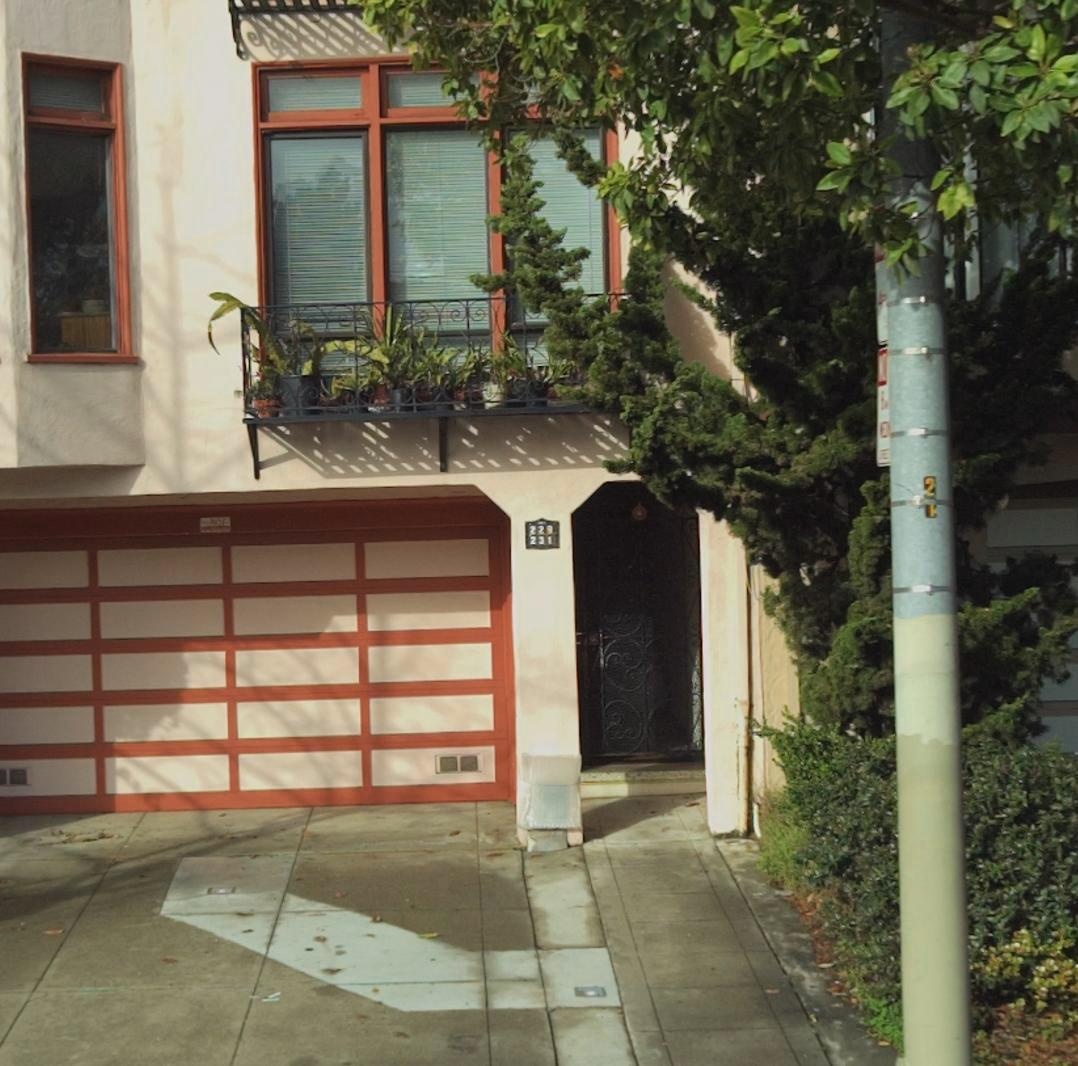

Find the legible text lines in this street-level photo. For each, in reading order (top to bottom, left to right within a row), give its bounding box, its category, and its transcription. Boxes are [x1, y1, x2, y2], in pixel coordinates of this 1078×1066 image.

[923, 475, 937, 519] None: 21
[528, 523, 555, 536] StreetNumber: 229
[528, 534, 555, 547] StreetNumber: 231